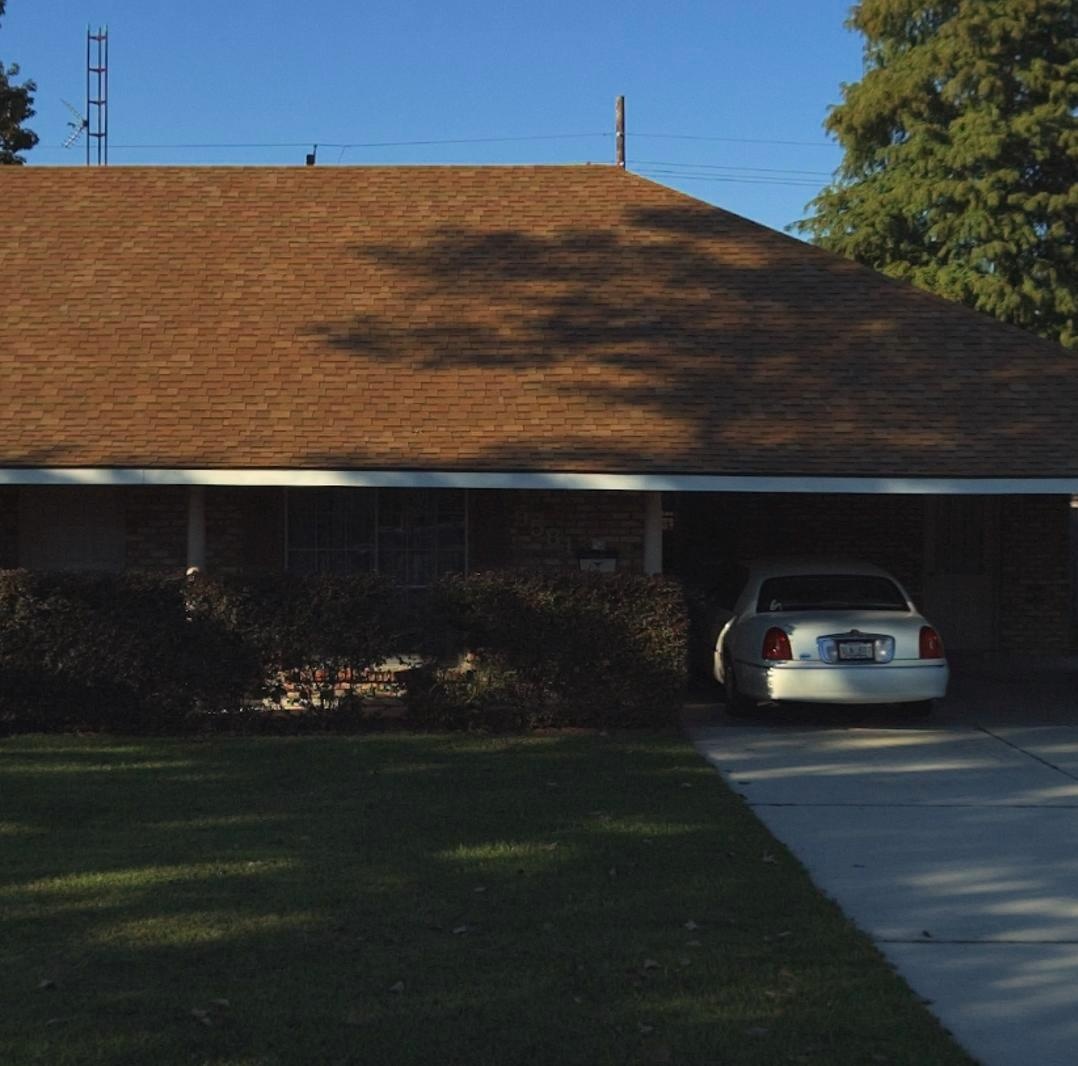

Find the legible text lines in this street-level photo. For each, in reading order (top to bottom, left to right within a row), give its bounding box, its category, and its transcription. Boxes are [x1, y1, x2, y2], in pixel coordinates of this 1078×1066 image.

[513, 508, 575, 560] StreetNumber: 9581